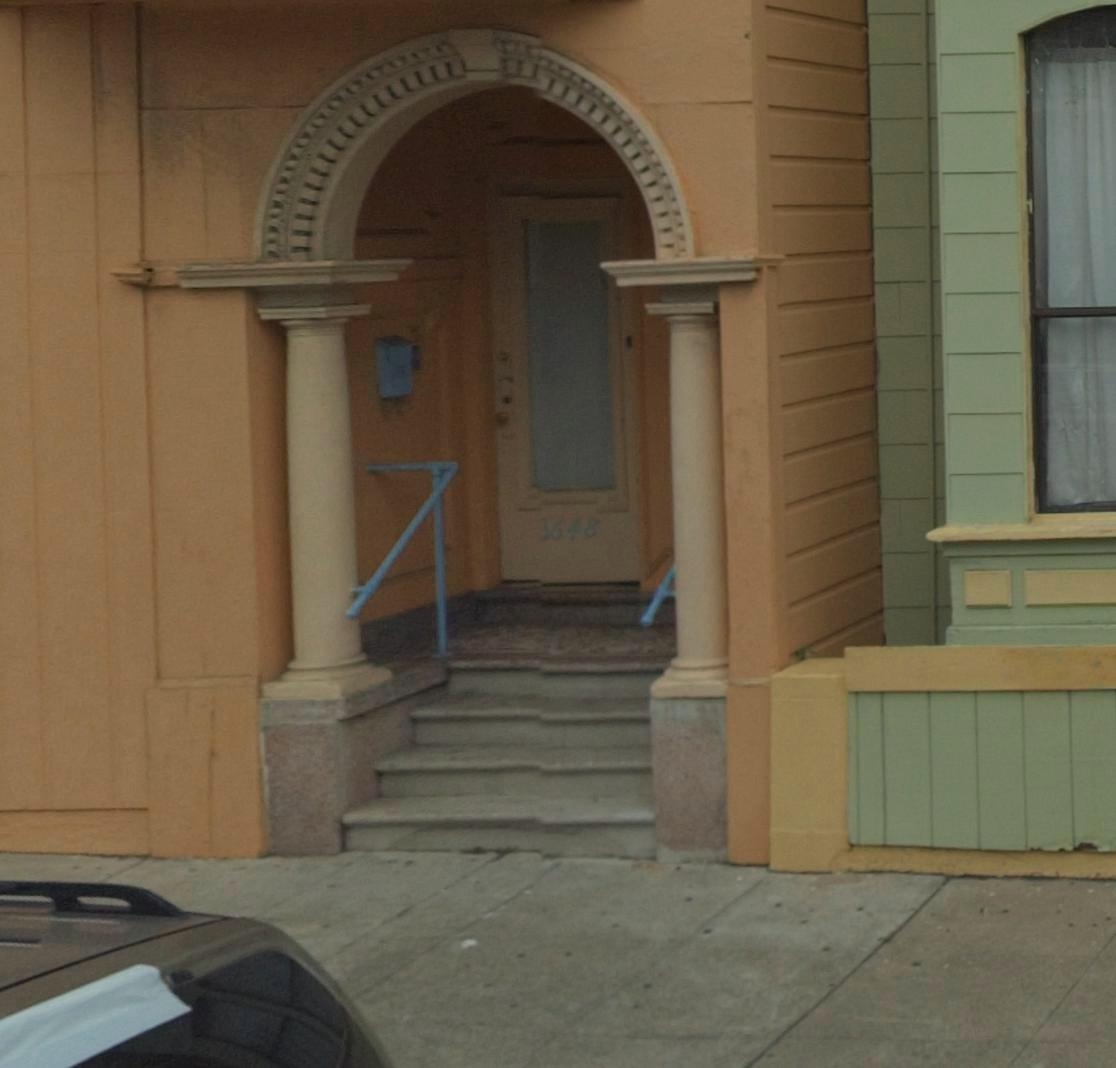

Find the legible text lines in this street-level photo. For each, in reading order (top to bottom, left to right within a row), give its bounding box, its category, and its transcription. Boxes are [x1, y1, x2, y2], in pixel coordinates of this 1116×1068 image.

[535, 515, 601, 544] StreetNumber: 3648